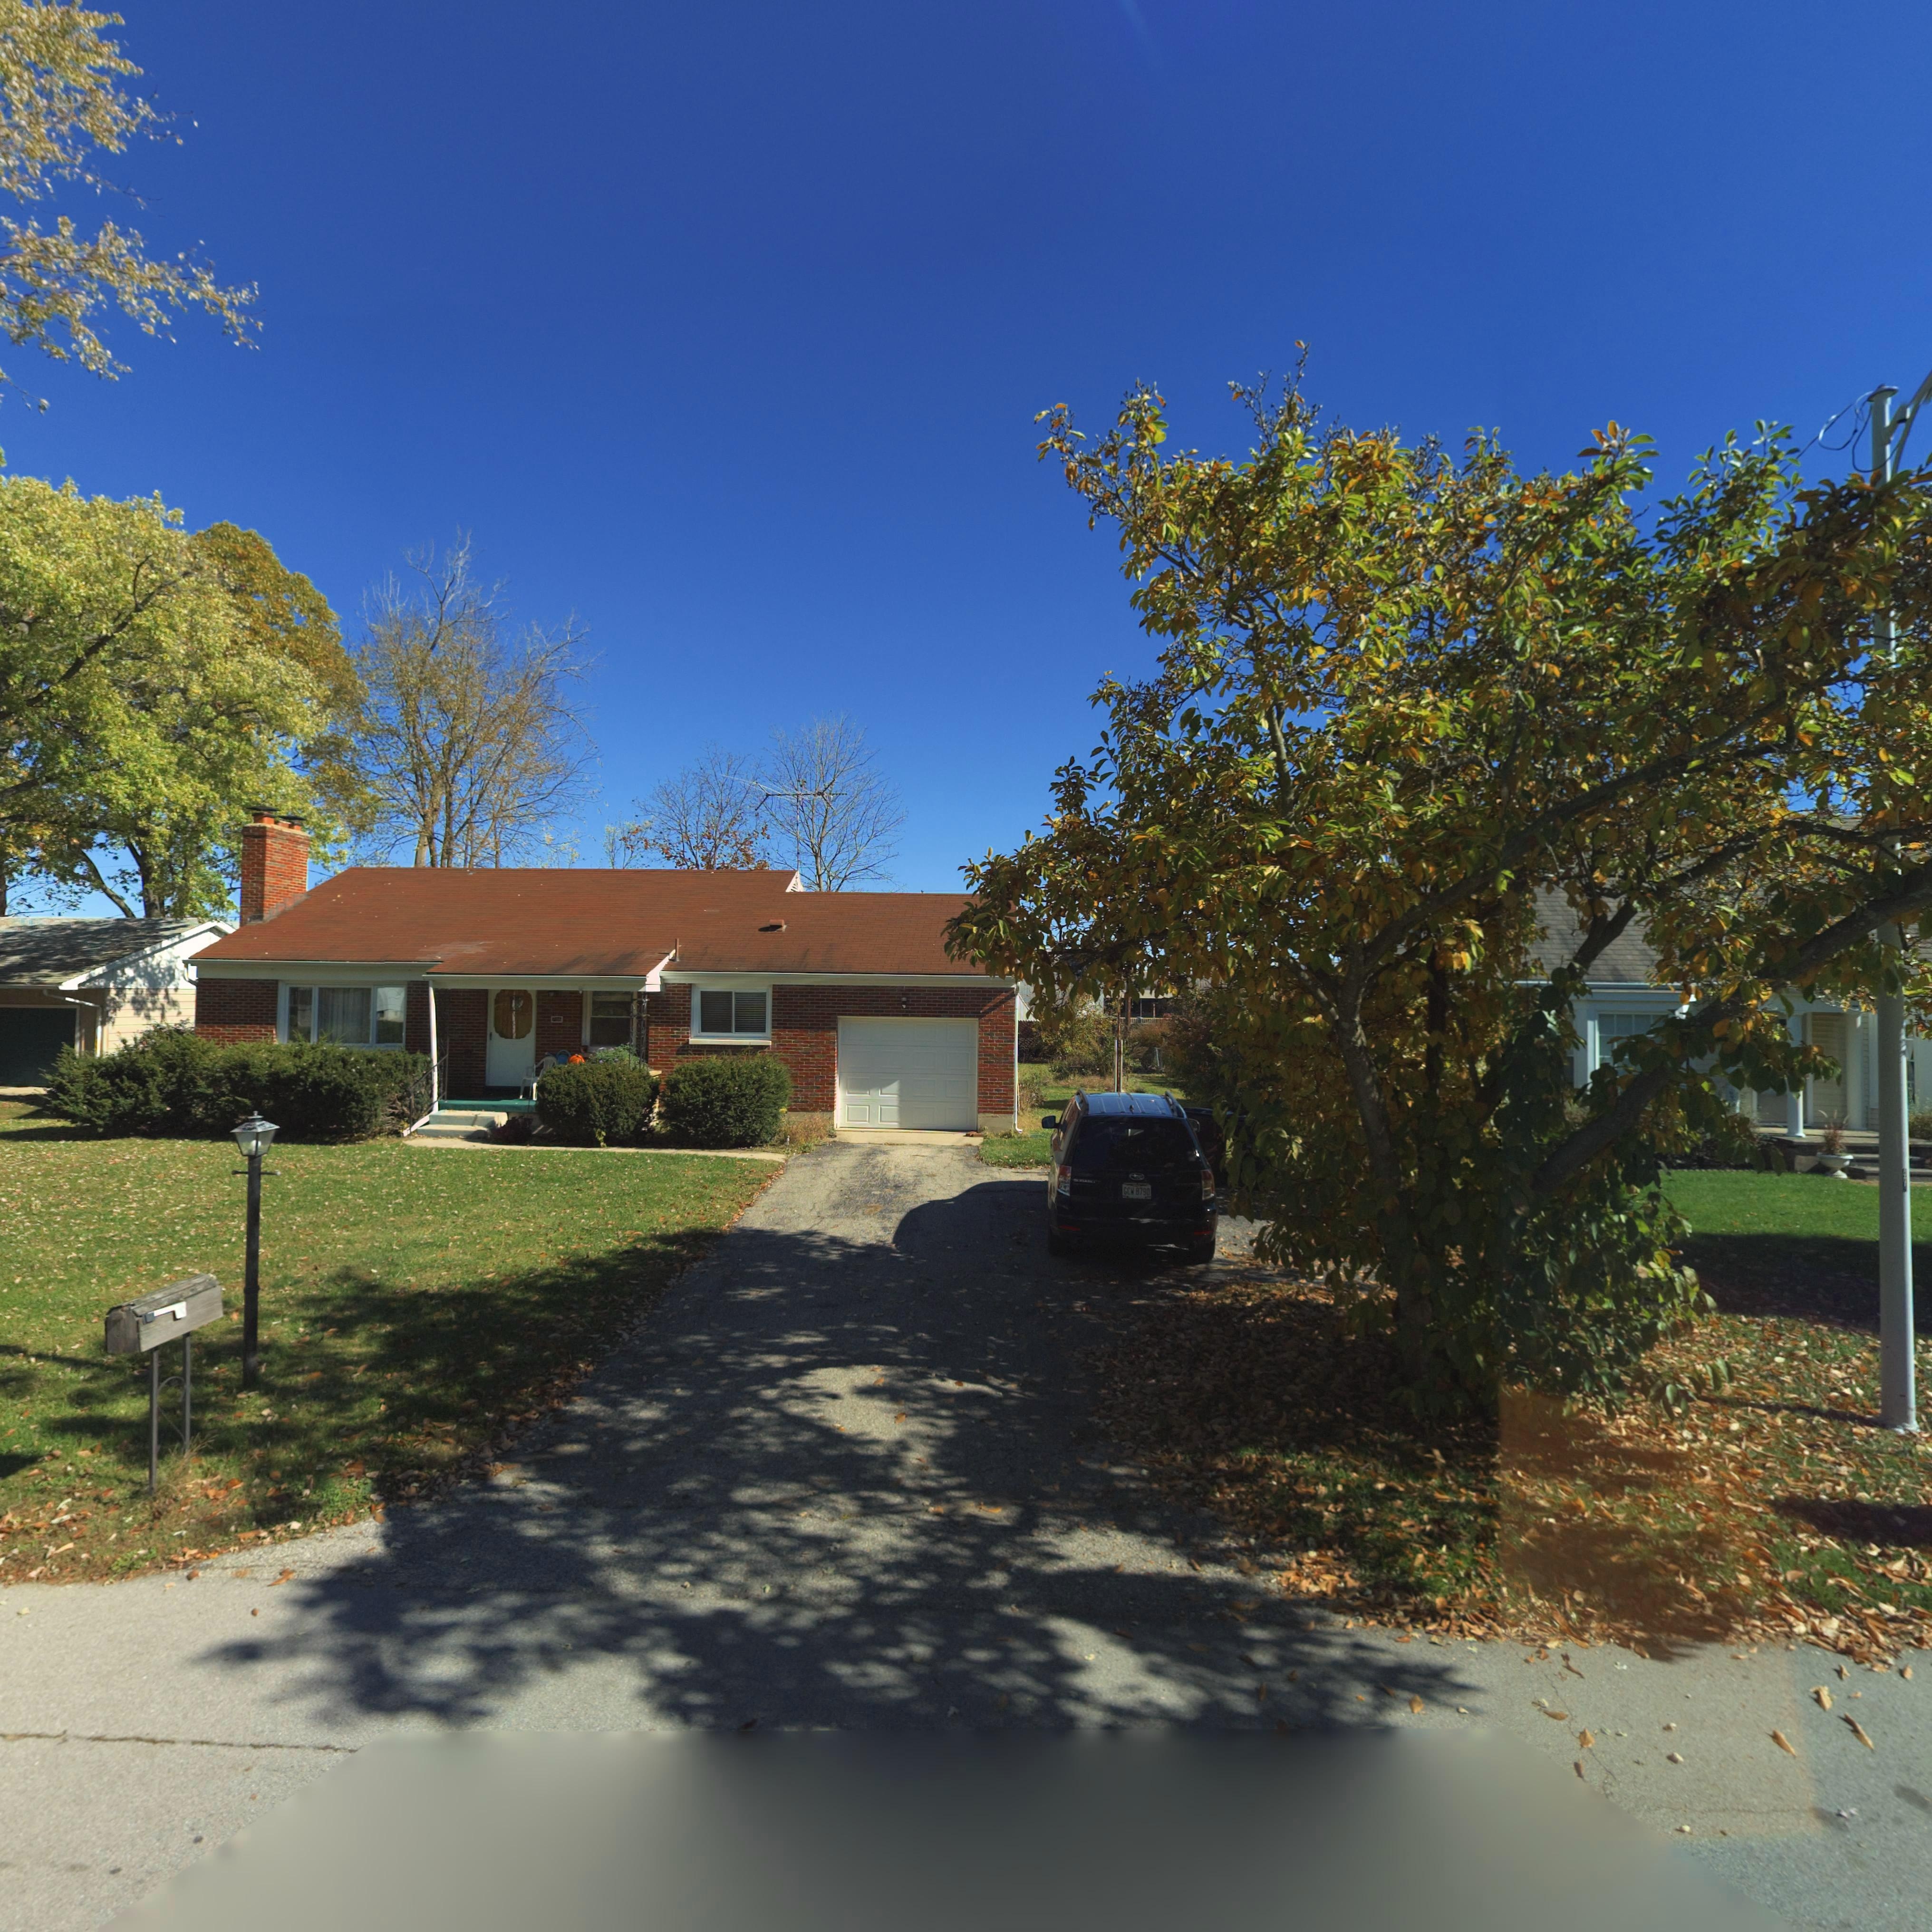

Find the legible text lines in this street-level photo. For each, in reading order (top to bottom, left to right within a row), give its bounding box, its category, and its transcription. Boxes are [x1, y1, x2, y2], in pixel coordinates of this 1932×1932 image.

[552, 1017, 562, 1022] StreetNumber: 706